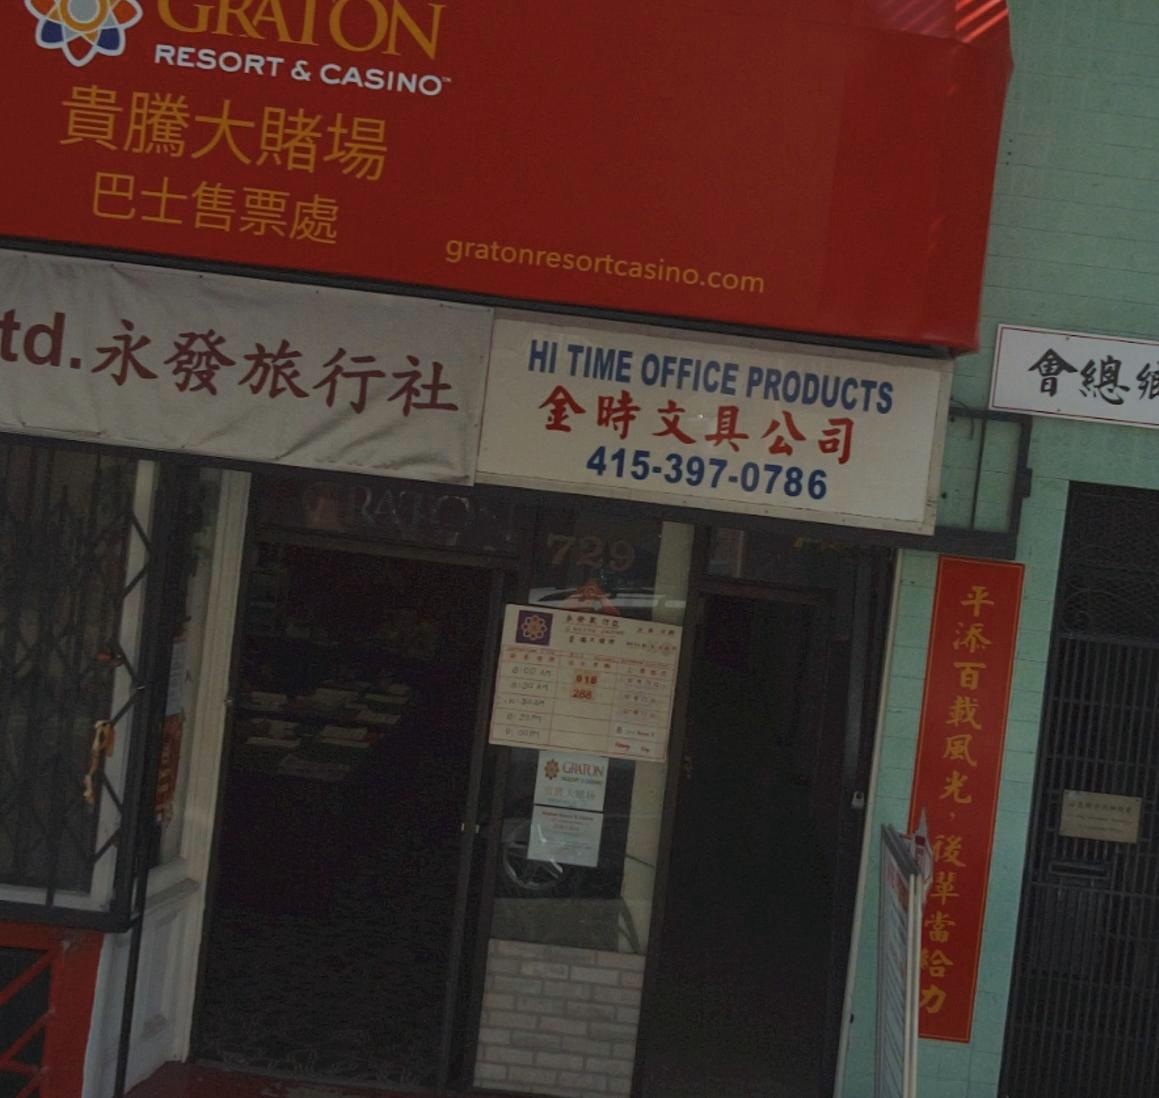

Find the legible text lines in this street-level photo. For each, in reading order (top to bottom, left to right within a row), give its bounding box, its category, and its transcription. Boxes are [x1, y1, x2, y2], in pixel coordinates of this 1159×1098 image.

[381, 0, 448, 61] BusinessName: N
[152, 42, 444, 98] BusinessName: RESORT & CASINO
[441, 236, 767, 297] None: gratonresortcasino.com
[22, 310, 82, 371] None: d.
[525, 336, 894, 416] BusinessName: HI TIME OFFICE PRODUCTS
[579, 442, 829, 504] None: 415-397-0786
[297, 476, 518, 551] BusinessName: GRATON
[544, 530, 640, 575] StreetNumber: 729
[570, 687, 594, 701] None: 288
[574, 672, 598, 686] None: 018
[561, 759, 606, 779] None: GRATON